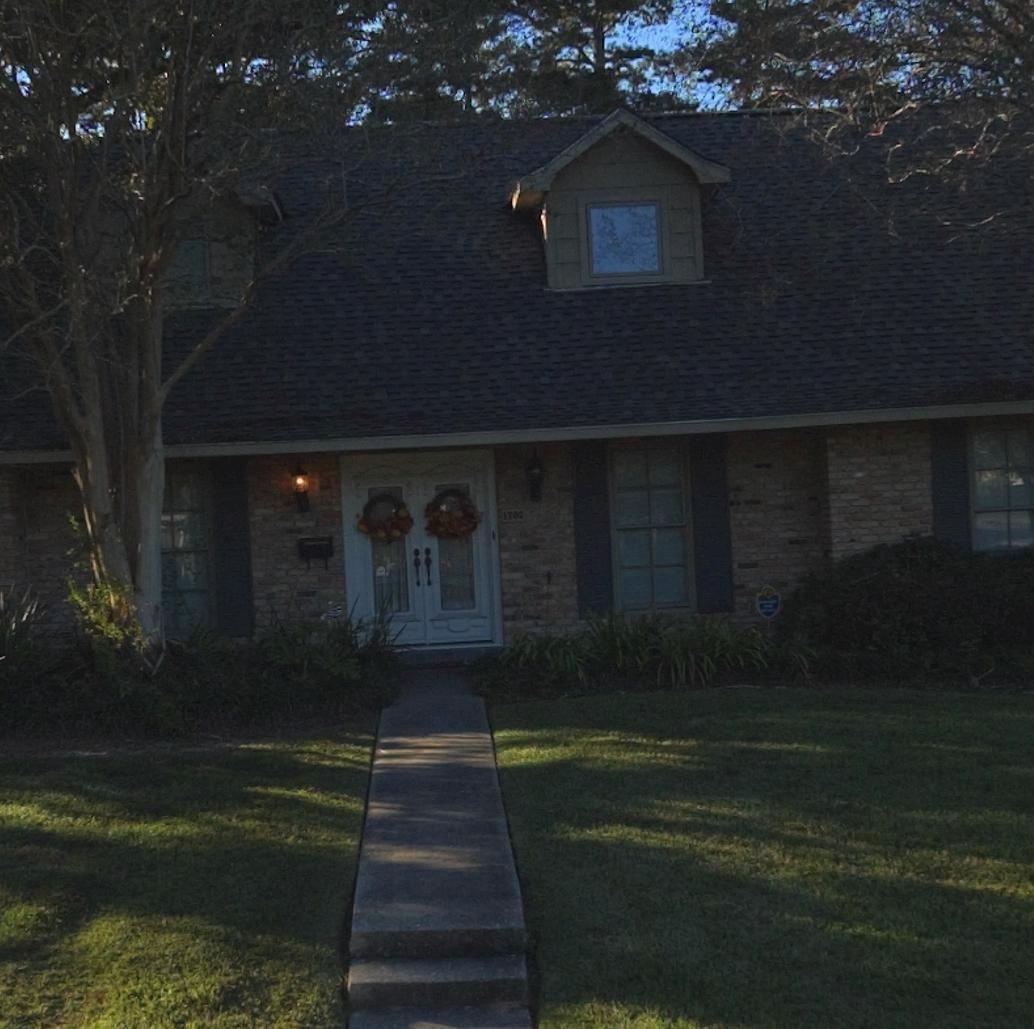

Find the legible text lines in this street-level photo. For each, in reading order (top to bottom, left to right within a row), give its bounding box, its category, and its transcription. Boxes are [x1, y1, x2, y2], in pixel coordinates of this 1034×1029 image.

[502, 509, 525, 521] StreetNumber: 1702